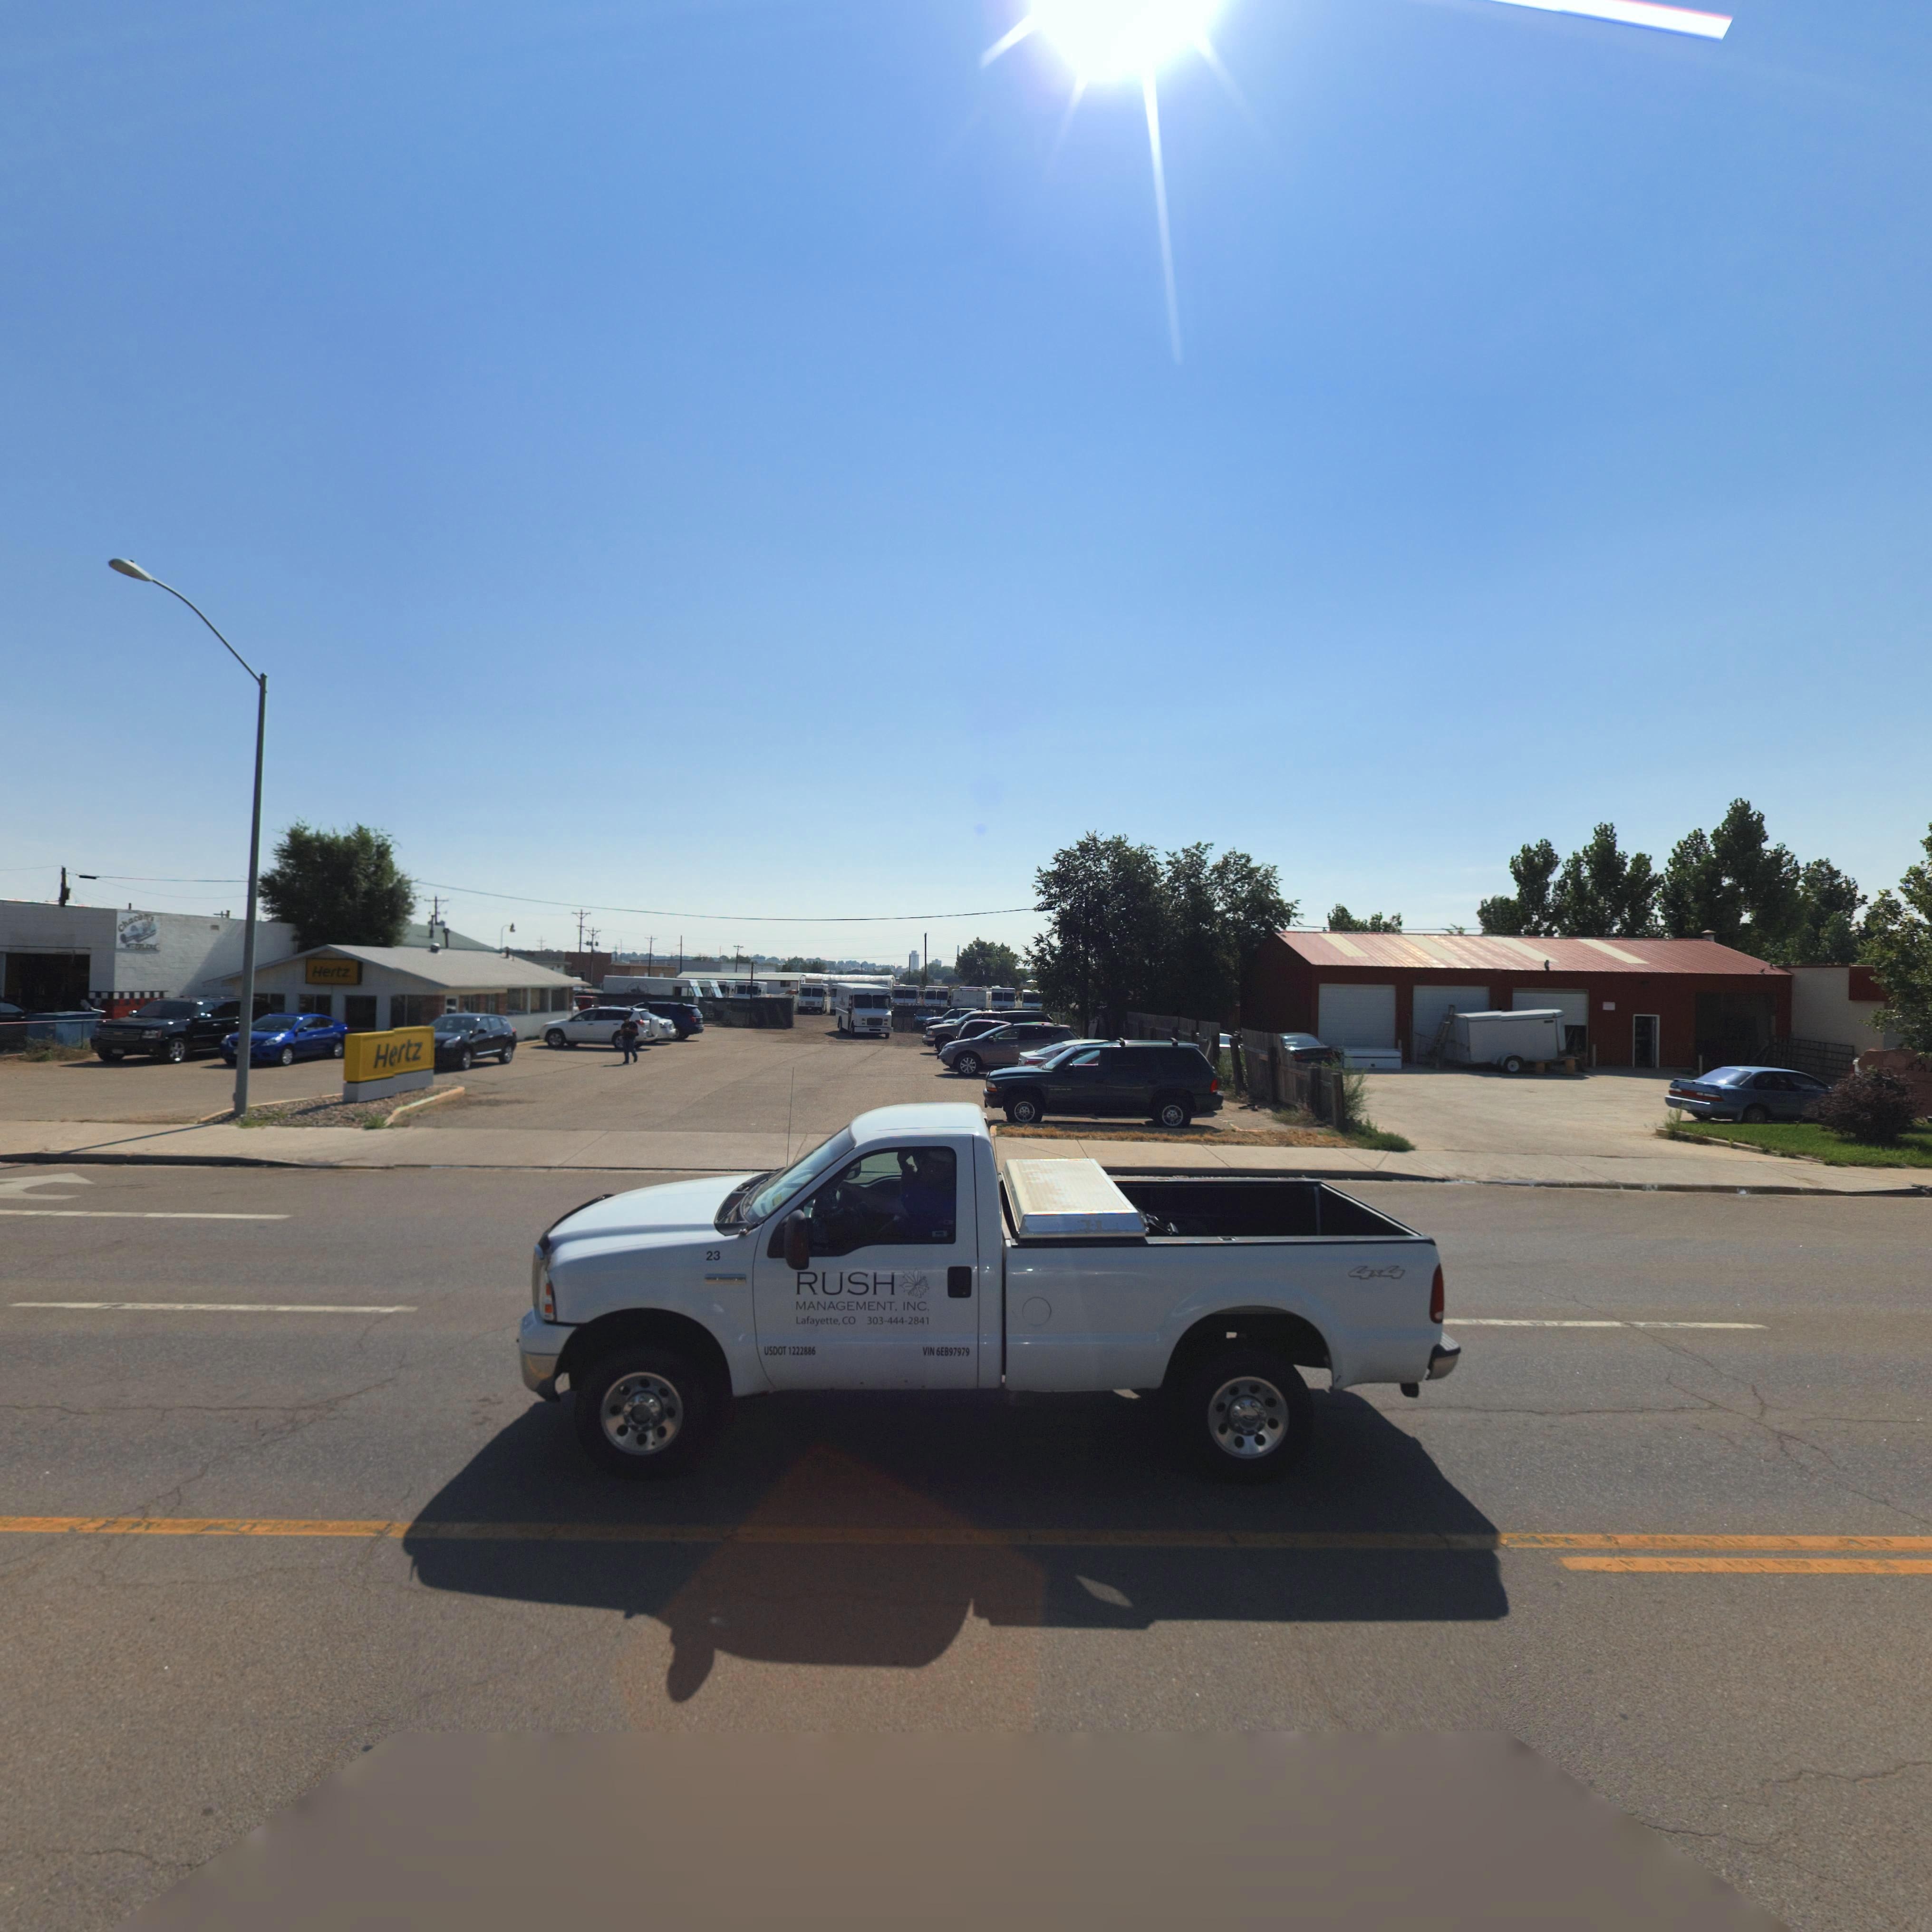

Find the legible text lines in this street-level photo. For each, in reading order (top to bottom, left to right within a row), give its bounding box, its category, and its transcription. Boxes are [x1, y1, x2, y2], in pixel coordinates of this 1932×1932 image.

[117, 913, 155, 932] BusinessName: Cha****
[311, 966, 350, 977] BusinessName: Hertz
[373, 1039, 423, 1069] BusinessName: H*rtz